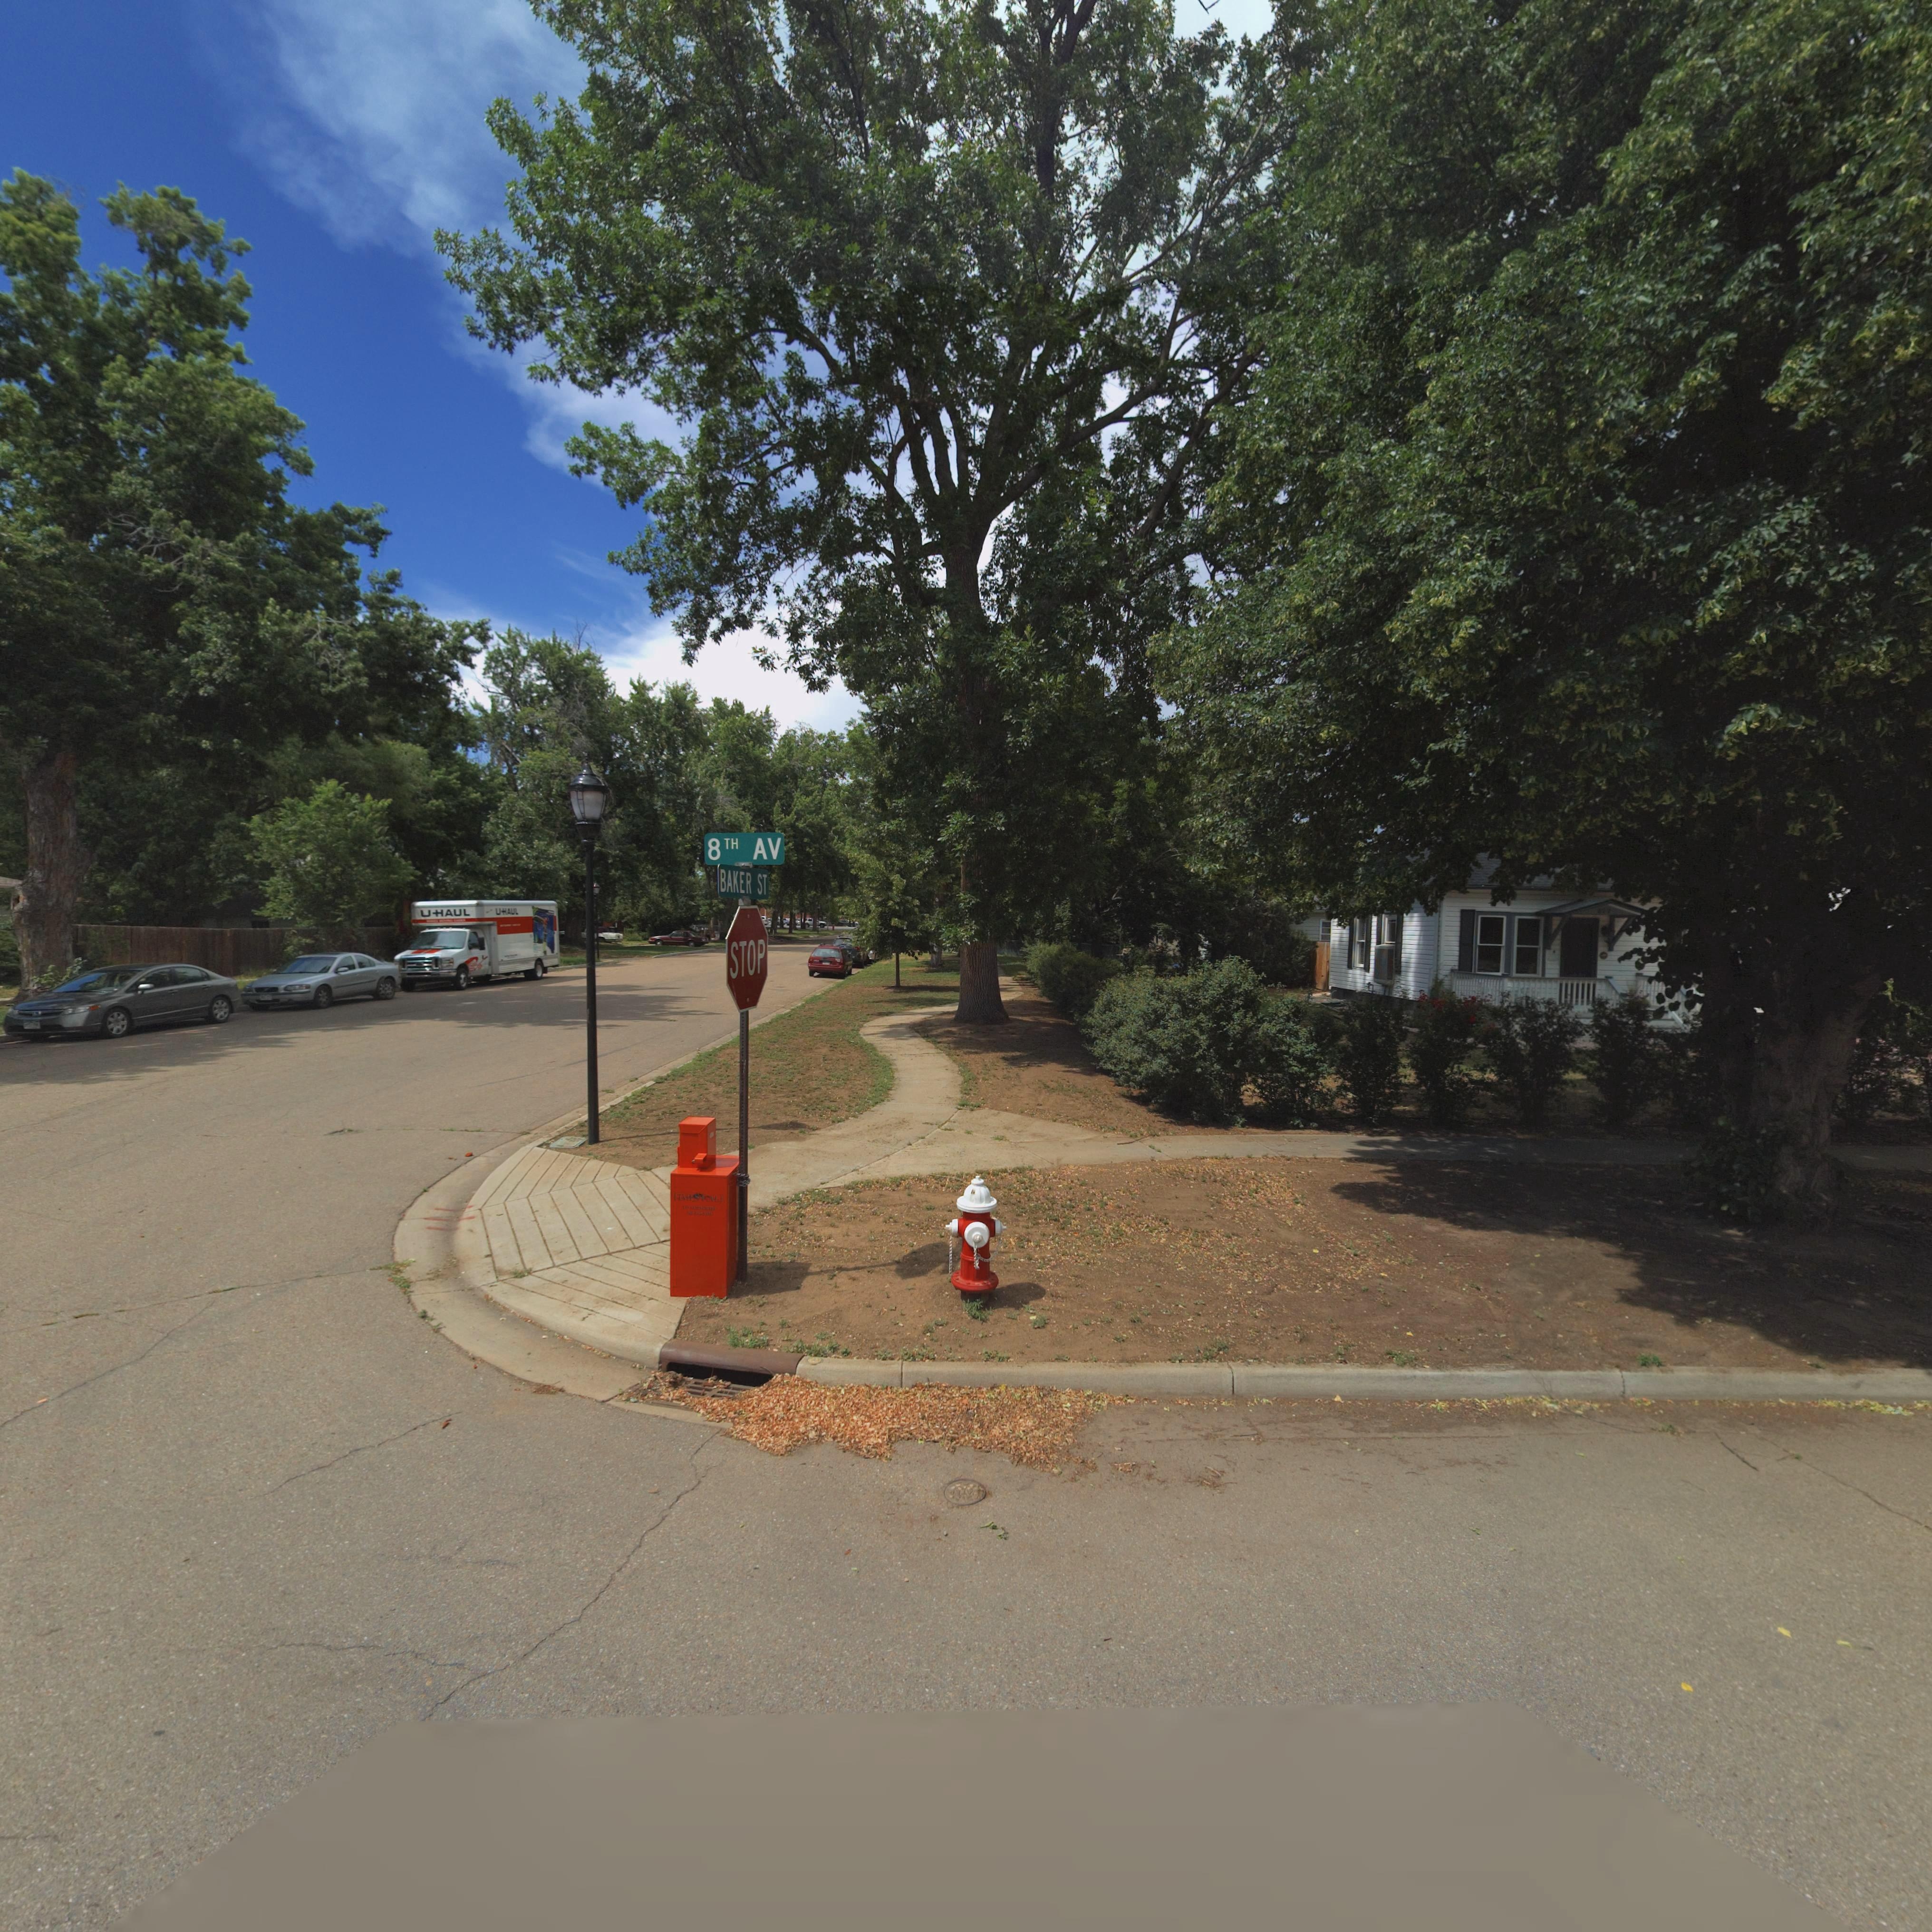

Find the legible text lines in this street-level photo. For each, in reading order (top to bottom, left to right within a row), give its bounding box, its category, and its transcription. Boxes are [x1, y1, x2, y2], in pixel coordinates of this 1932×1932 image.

[707, 837, 782, 860] StreetName: 8TH AV
[719, 868, 767, 896] StreetName: BAKER ST